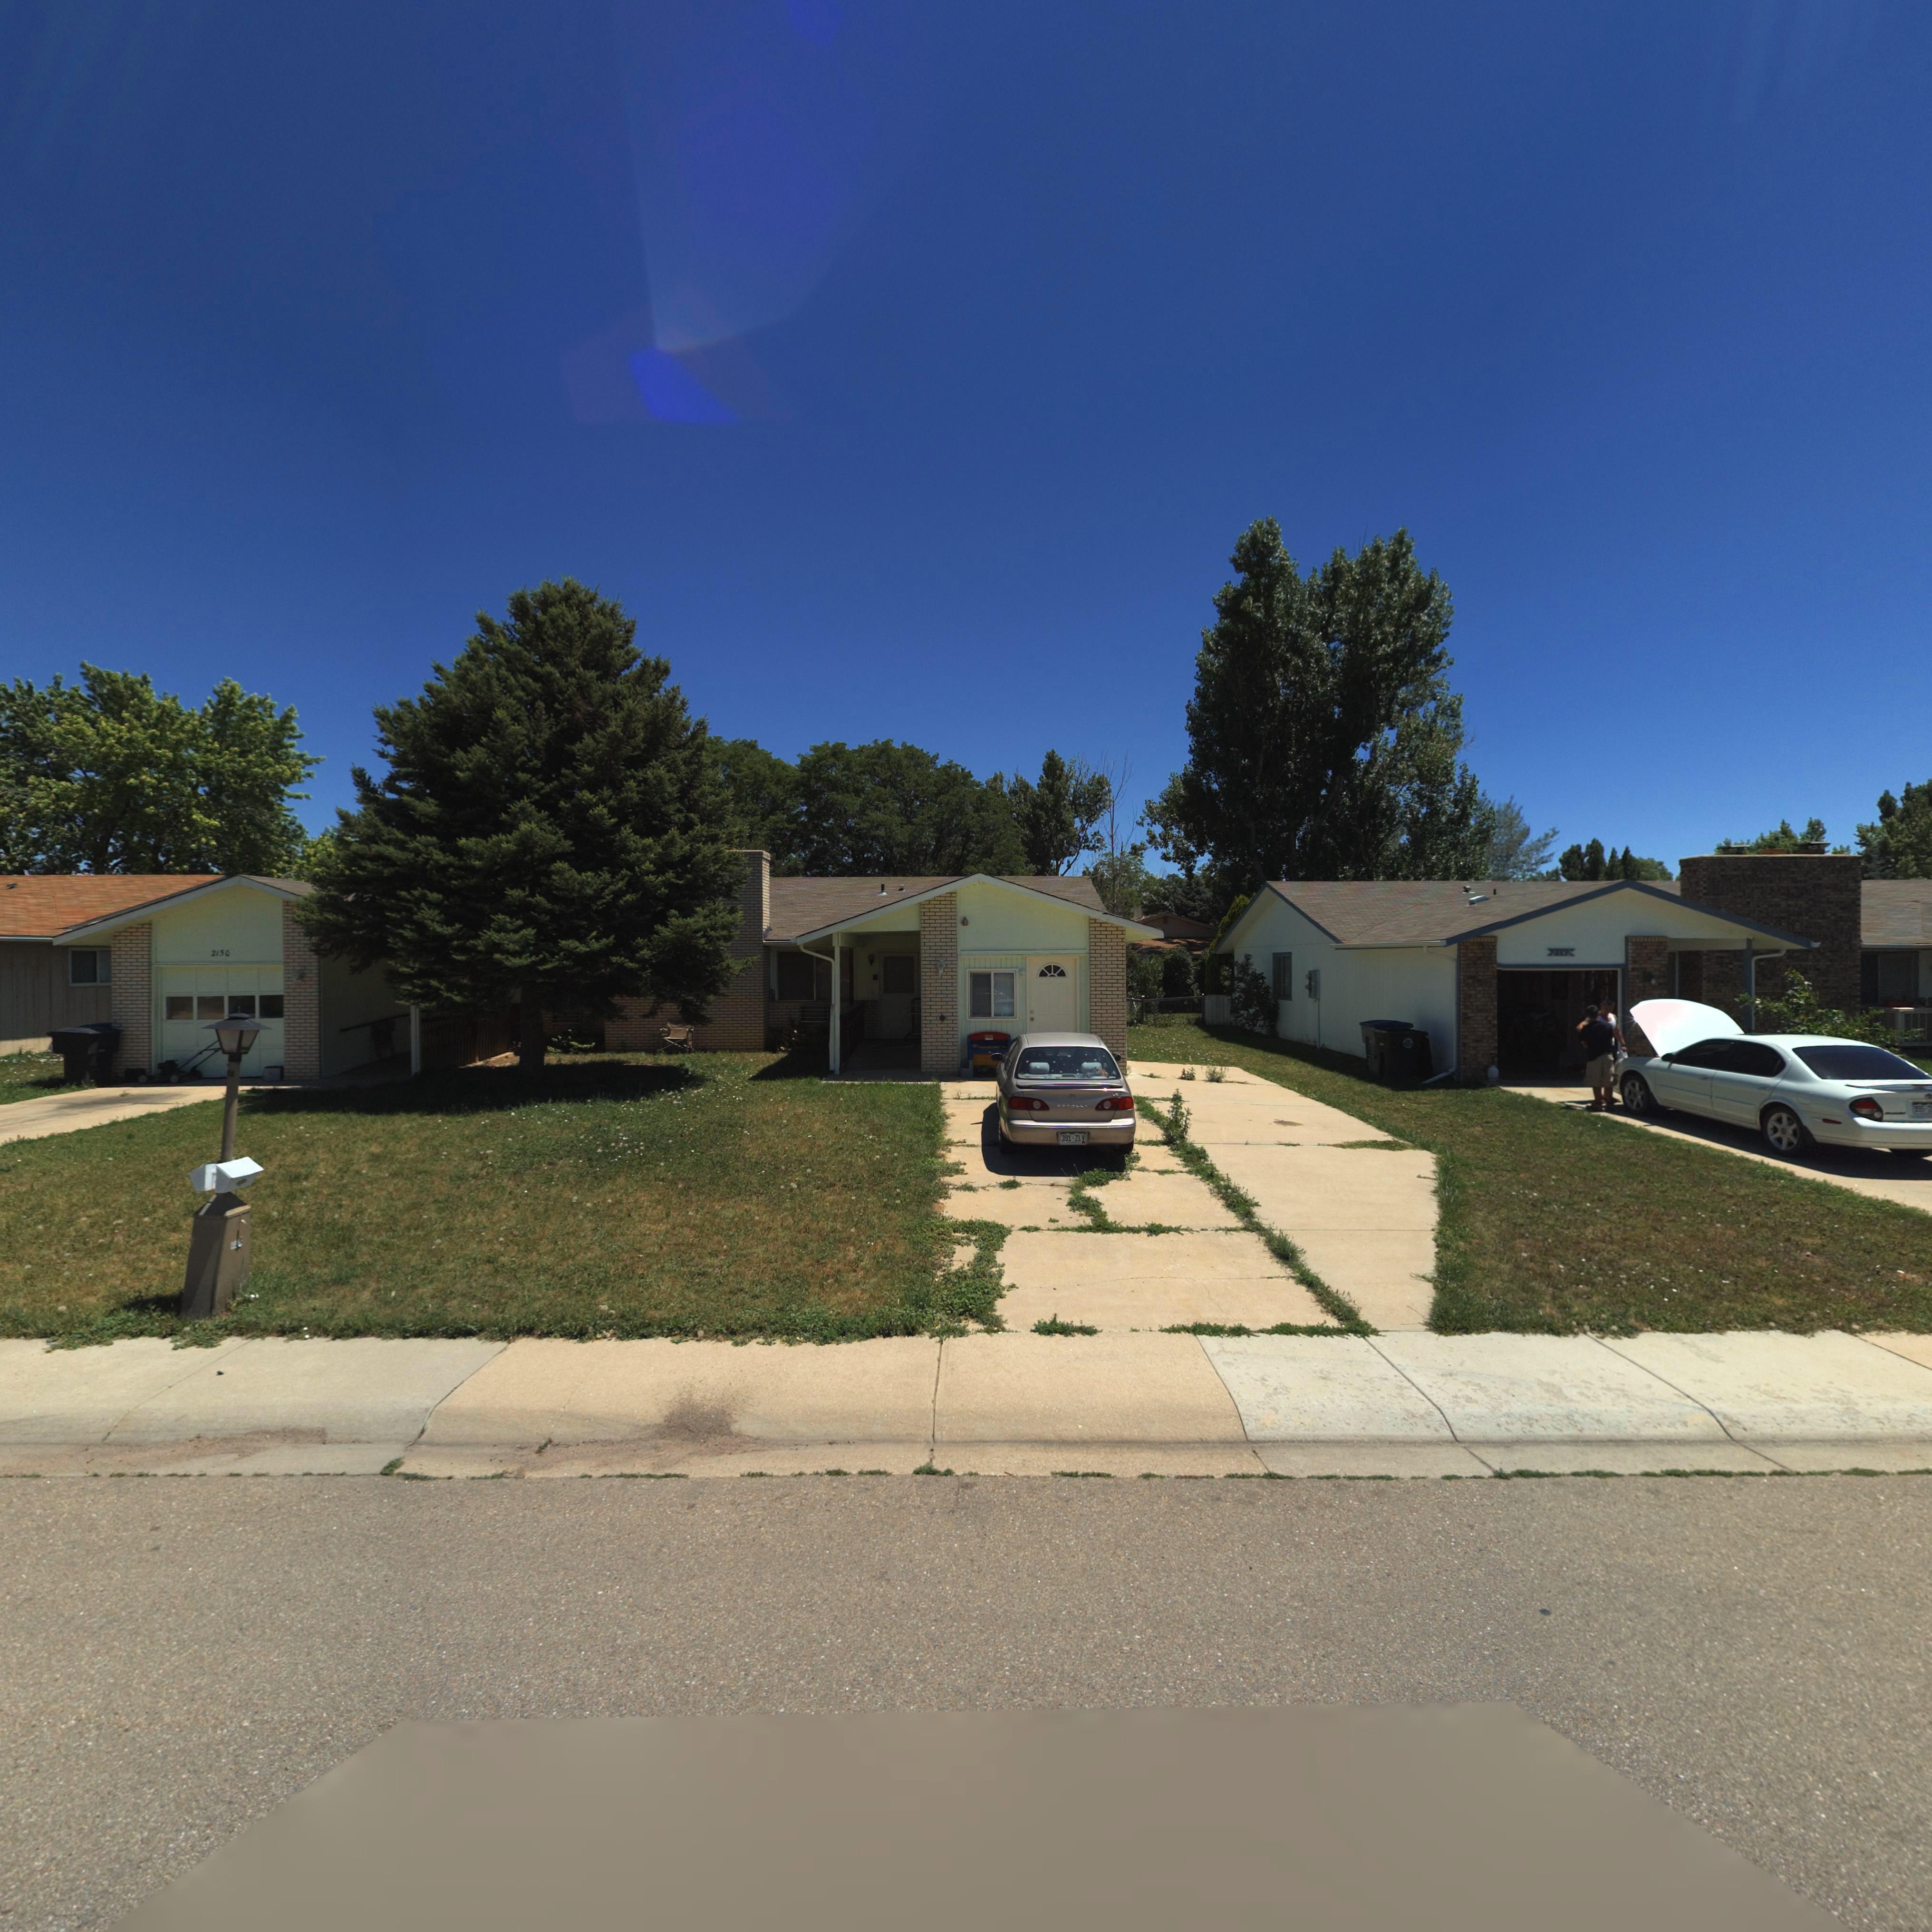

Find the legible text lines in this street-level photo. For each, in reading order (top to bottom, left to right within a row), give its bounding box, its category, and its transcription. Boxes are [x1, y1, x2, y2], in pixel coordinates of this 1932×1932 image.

[210, 949, 231, 957] StreetNumber: 2150
[1549, 949, 1572, 956] StreetNumber: 2142